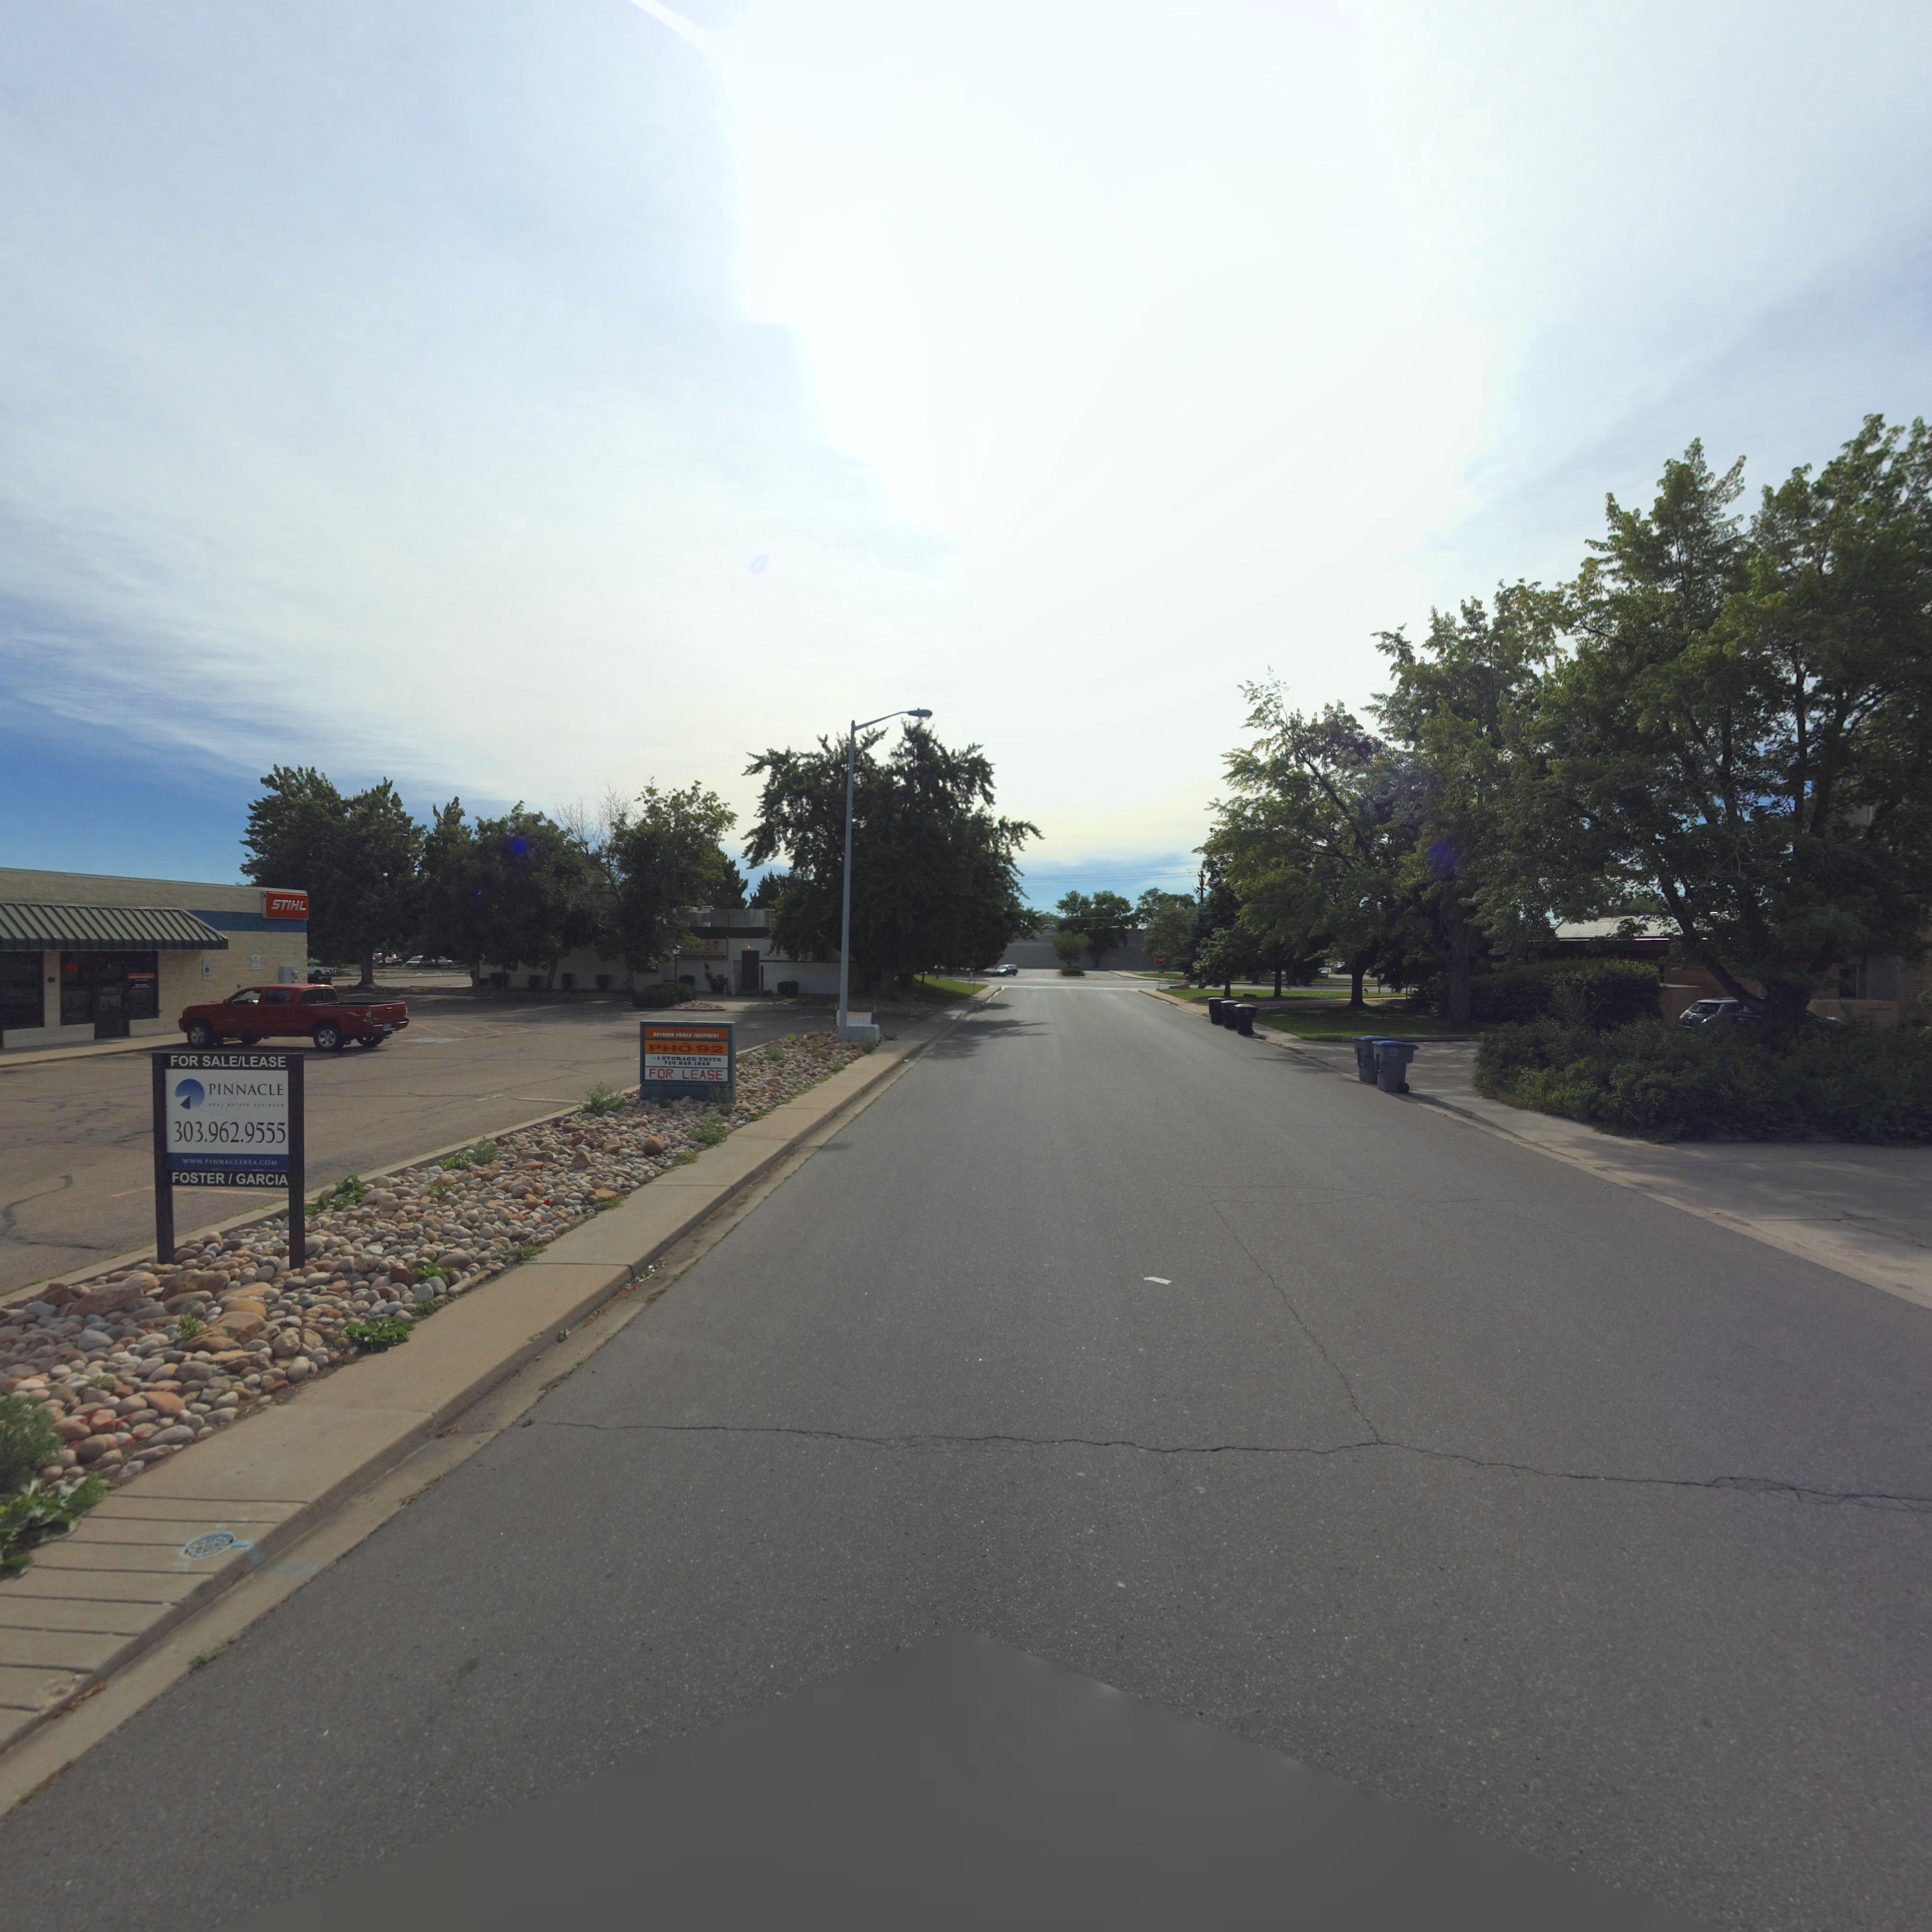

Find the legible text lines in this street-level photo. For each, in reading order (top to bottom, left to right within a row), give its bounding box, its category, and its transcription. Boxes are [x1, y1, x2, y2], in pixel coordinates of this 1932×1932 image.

[270, 899, 306, 910] BusinessName: STIHL
[705, 940, 710, 947] BusinessName: *S
[652, 1032, 719, 1038] BusinessName: *UT*** POWE* EQUIPMENT
[648, 1043, 724, 1053] BusinessName: PHO 92
[653, 1055, 722, 1062] None: *1 STORAGE UNITS